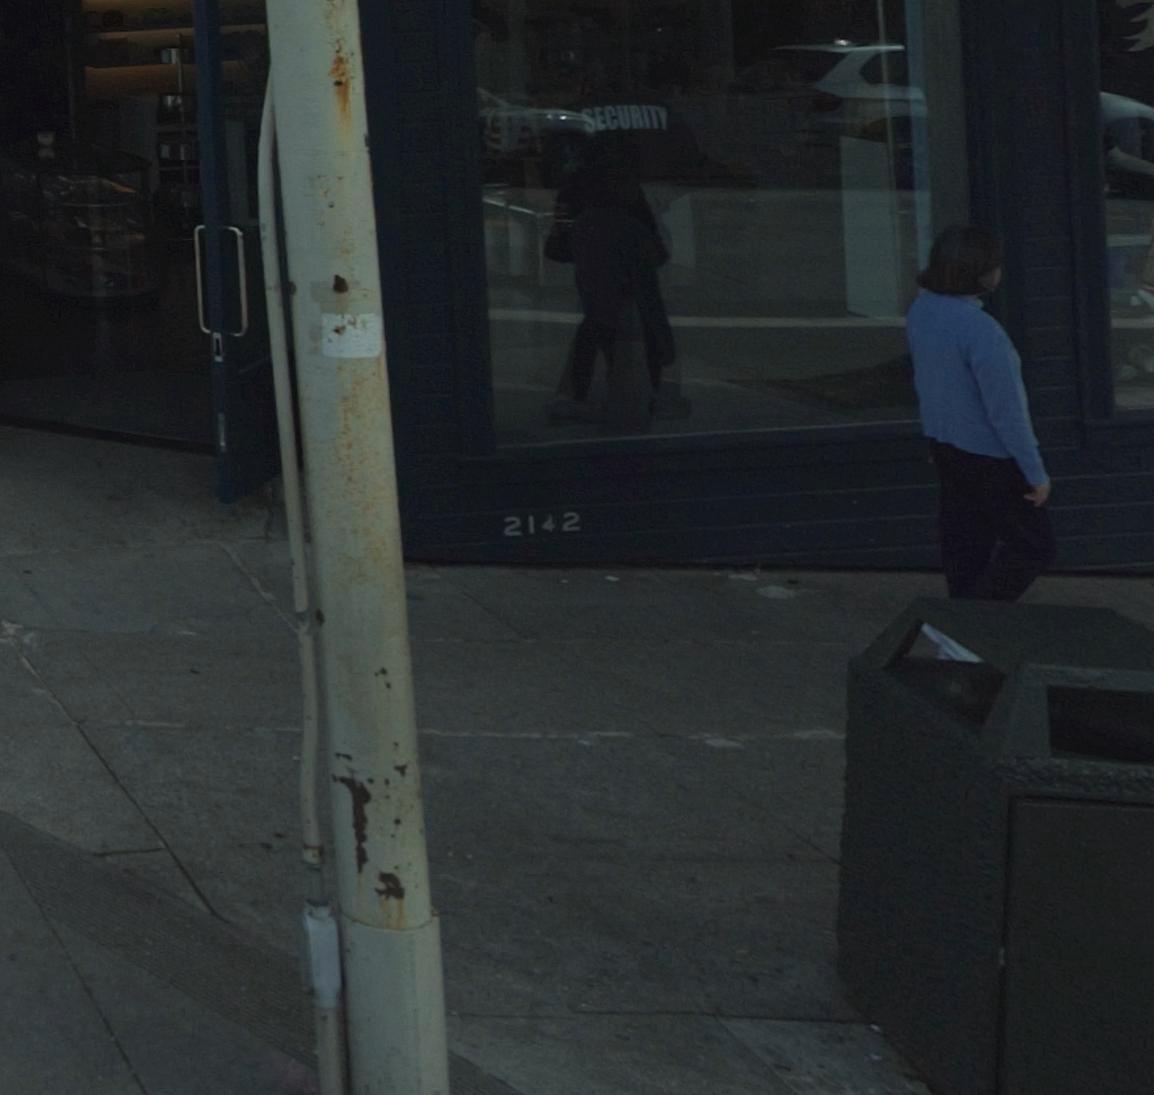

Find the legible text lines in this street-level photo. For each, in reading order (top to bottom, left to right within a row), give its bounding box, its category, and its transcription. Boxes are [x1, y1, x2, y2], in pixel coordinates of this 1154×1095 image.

[578, 102, 669, 137] None: SECURITY
[501, 509, 584, 539] StreetNumber: 2142